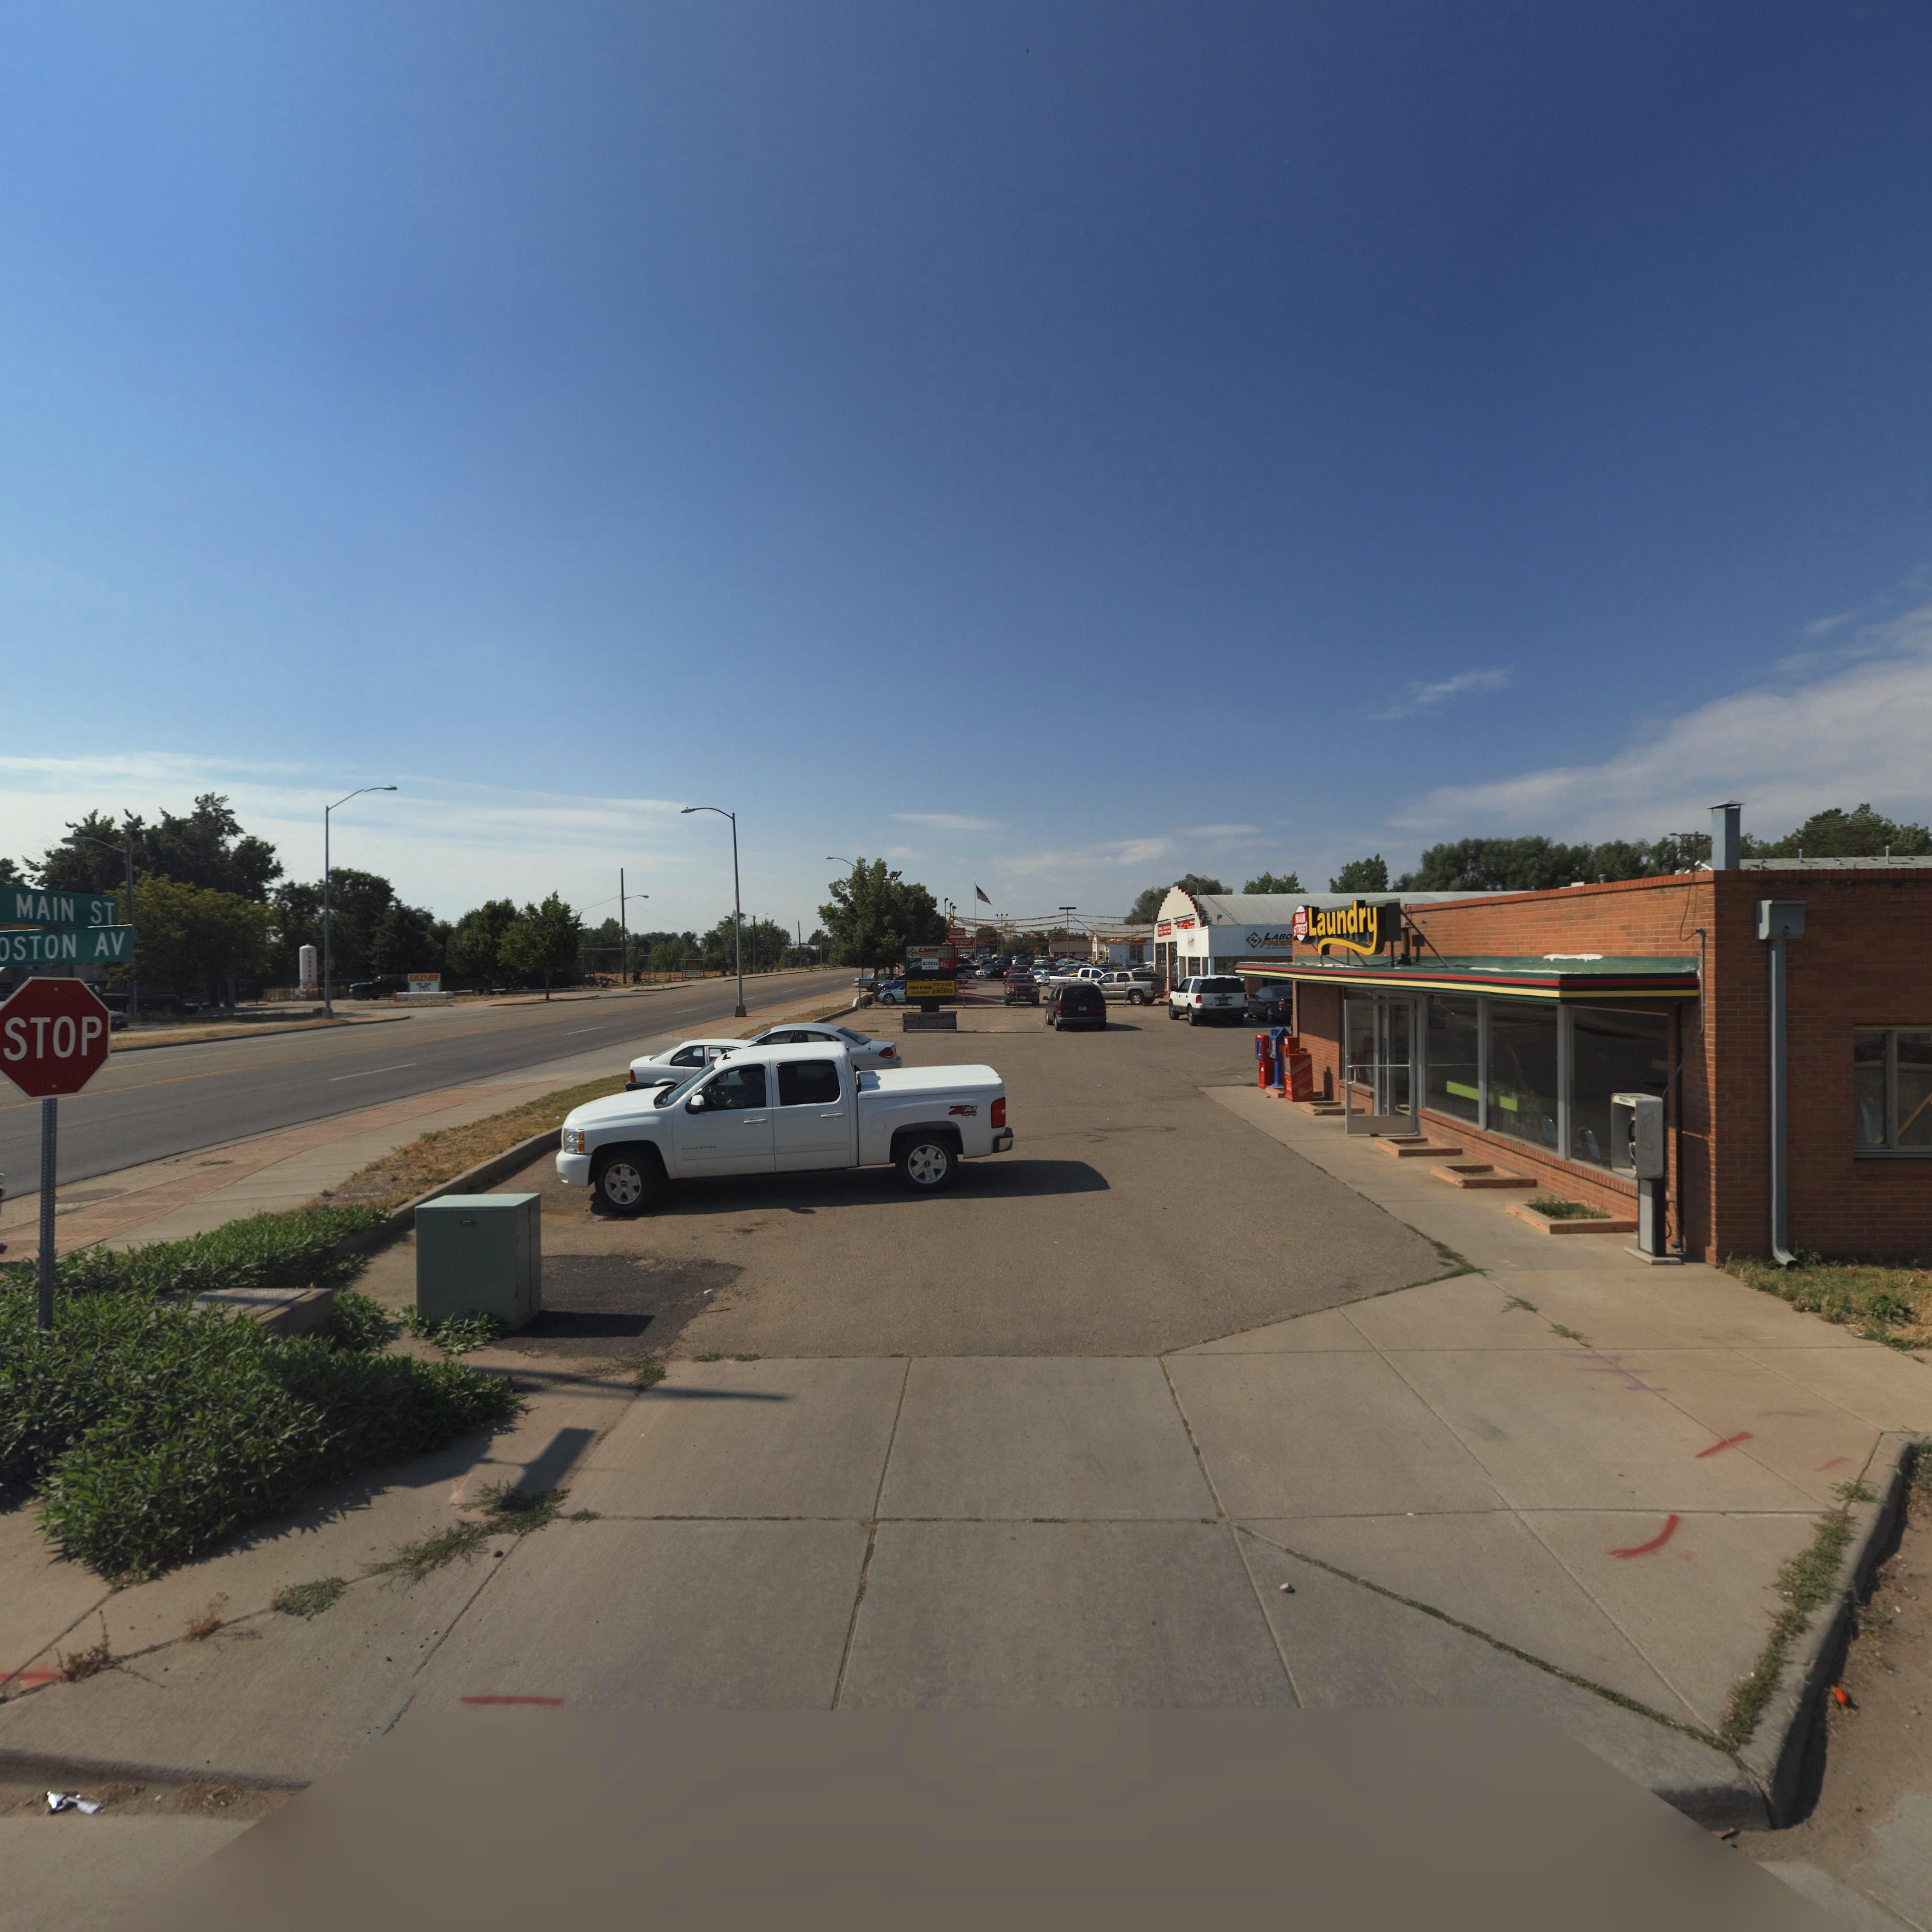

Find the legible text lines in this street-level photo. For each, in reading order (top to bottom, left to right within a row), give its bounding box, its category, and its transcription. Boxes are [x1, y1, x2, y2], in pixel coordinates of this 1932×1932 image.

[15, 892, 116, 925] StreetName: MAIN ST
[1294, 912, 1305, 924] BusinessName: MAIN
[1293, 922, 1307, 936] BusinessName: STREET
[1308, 900, 1377, 956] BusinessName: Laundry
[1264, 932, 1293, 940] BusinessName: LABO
[11, 931, 125, 961] StreetName: OSTON AV
[915, 952, 938, 957] BusinessName: F*****
[918, 947, 938, 952] BusinessName: LABOR
[1259, 939, 1291, 948] BusinessName: FINDER
[408, 974, 439, 980] BusinessName: TAY***